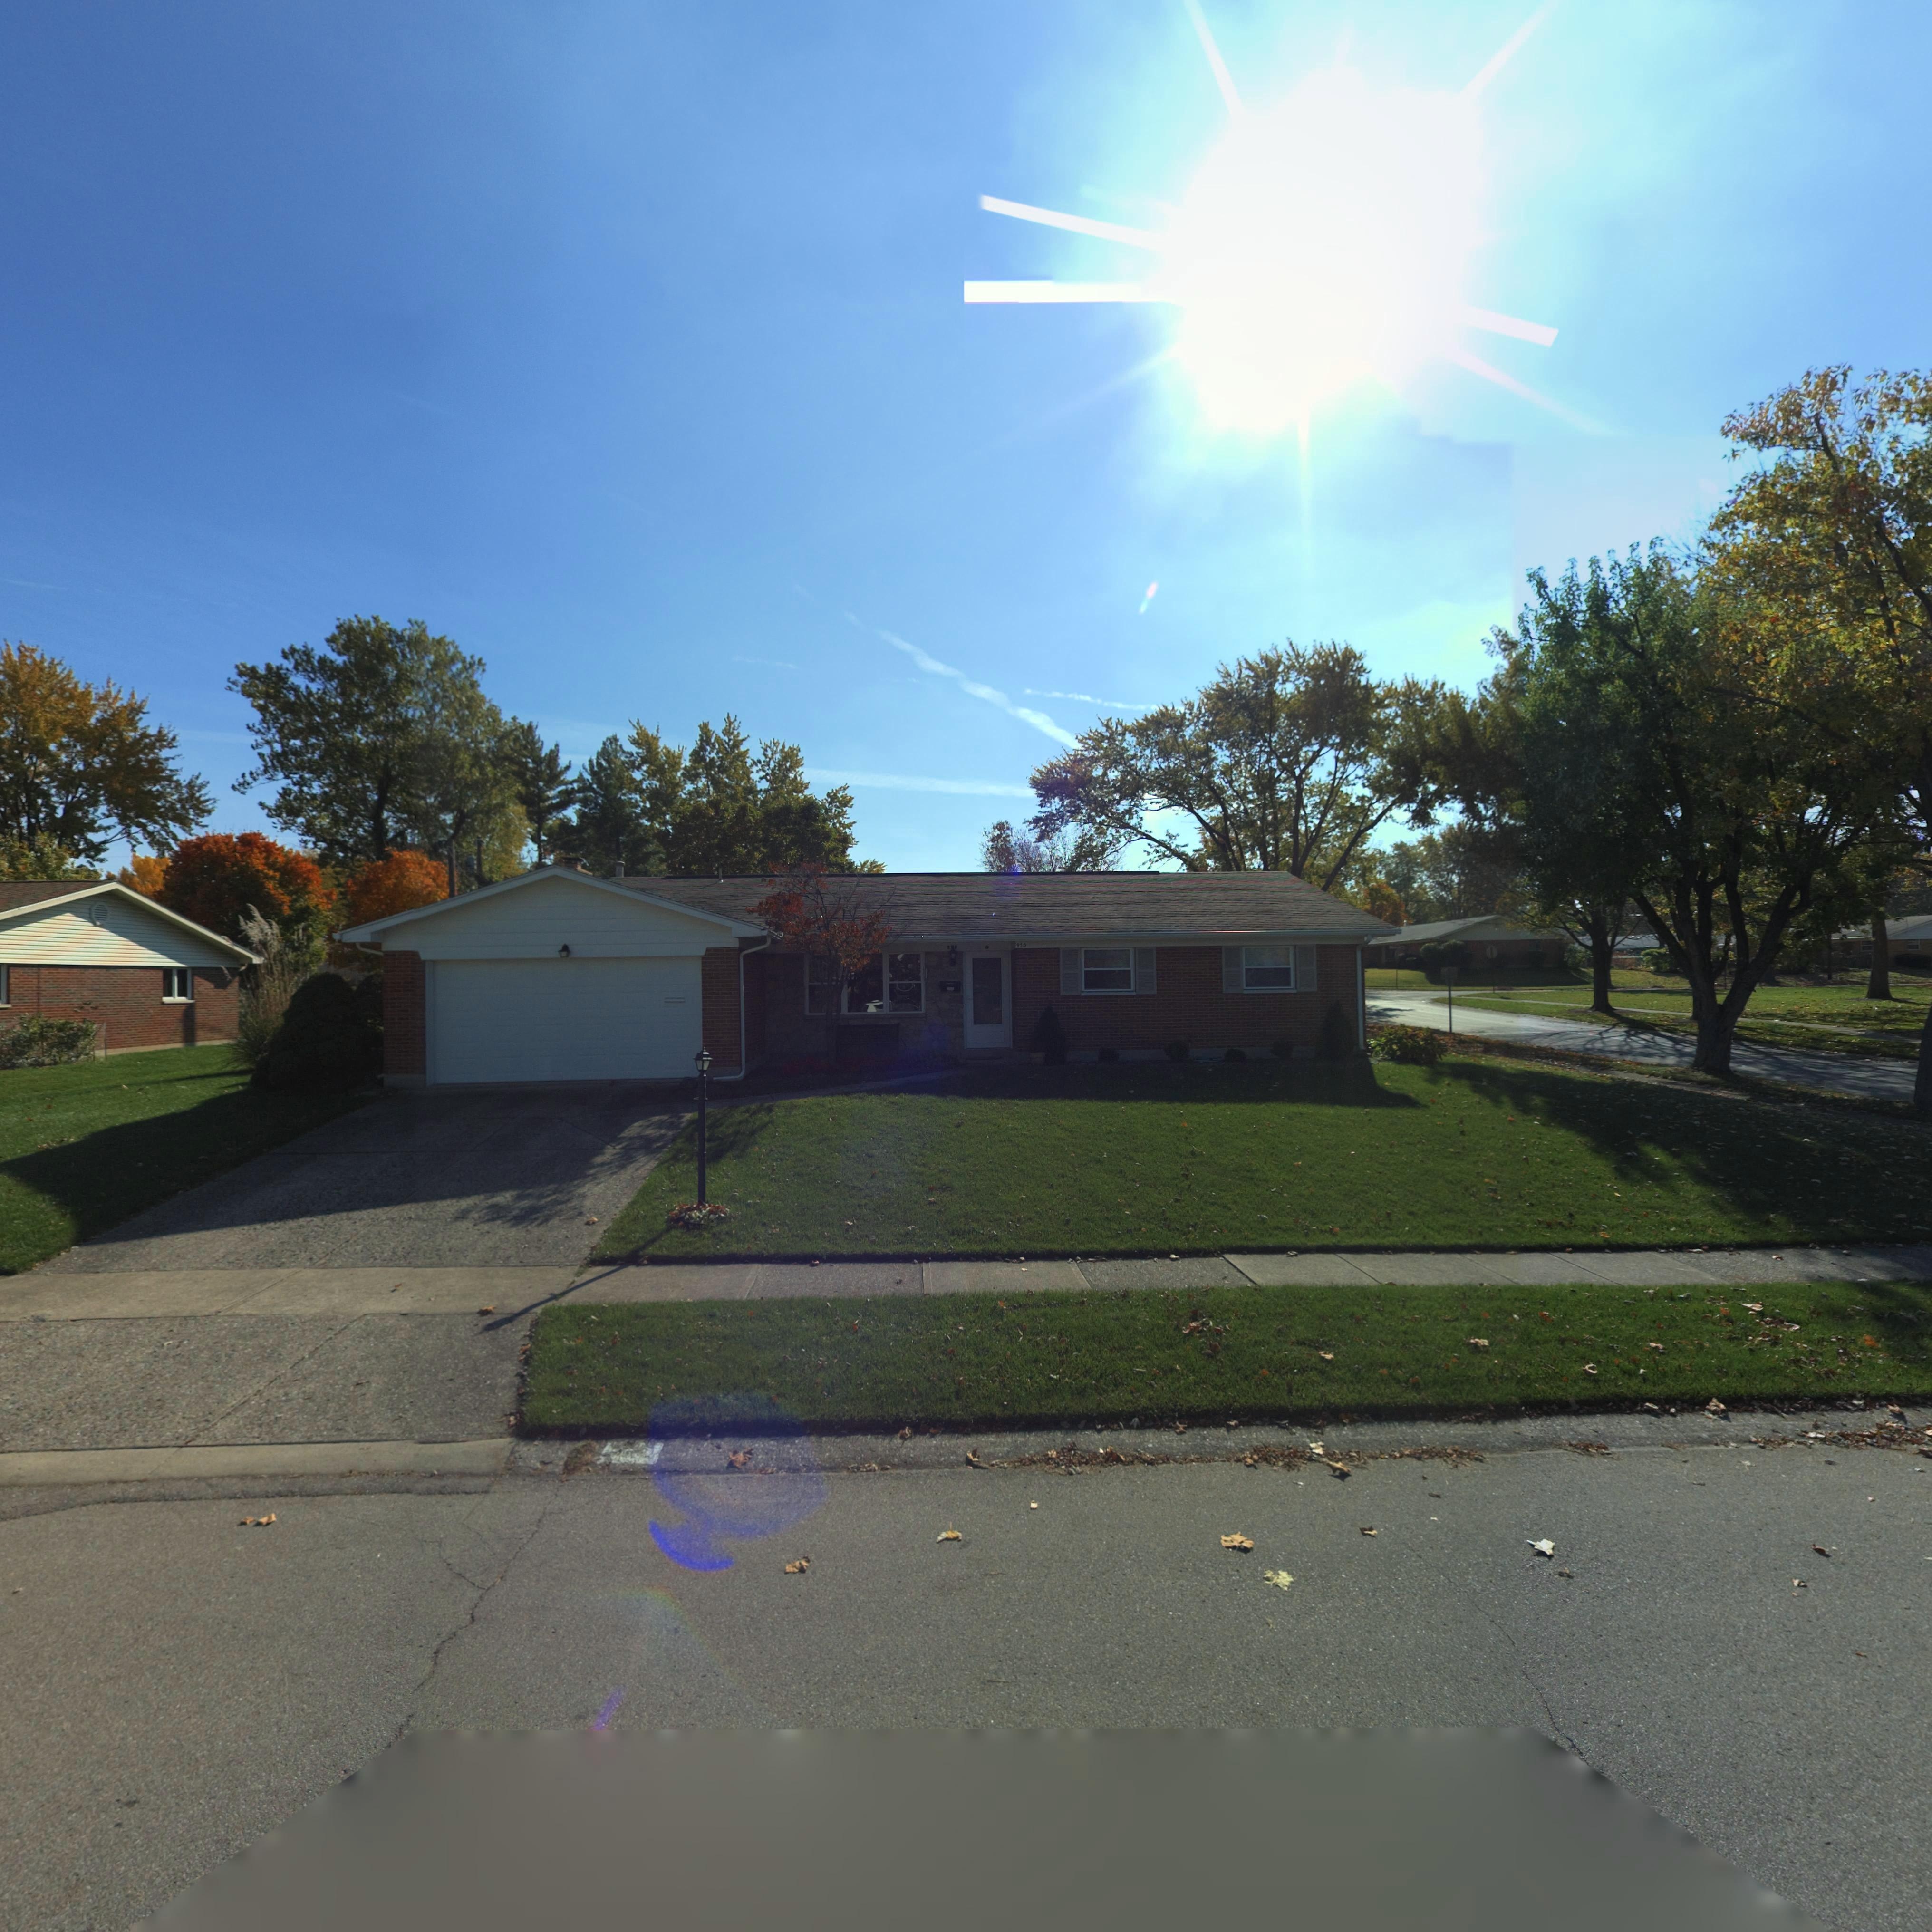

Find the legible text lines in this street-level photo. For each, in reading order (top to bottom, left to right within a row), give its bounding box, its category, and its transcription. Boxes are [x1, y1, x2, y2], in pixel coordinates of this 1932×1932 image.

[1016, 942, 1026, 948] StreetNumber: 950